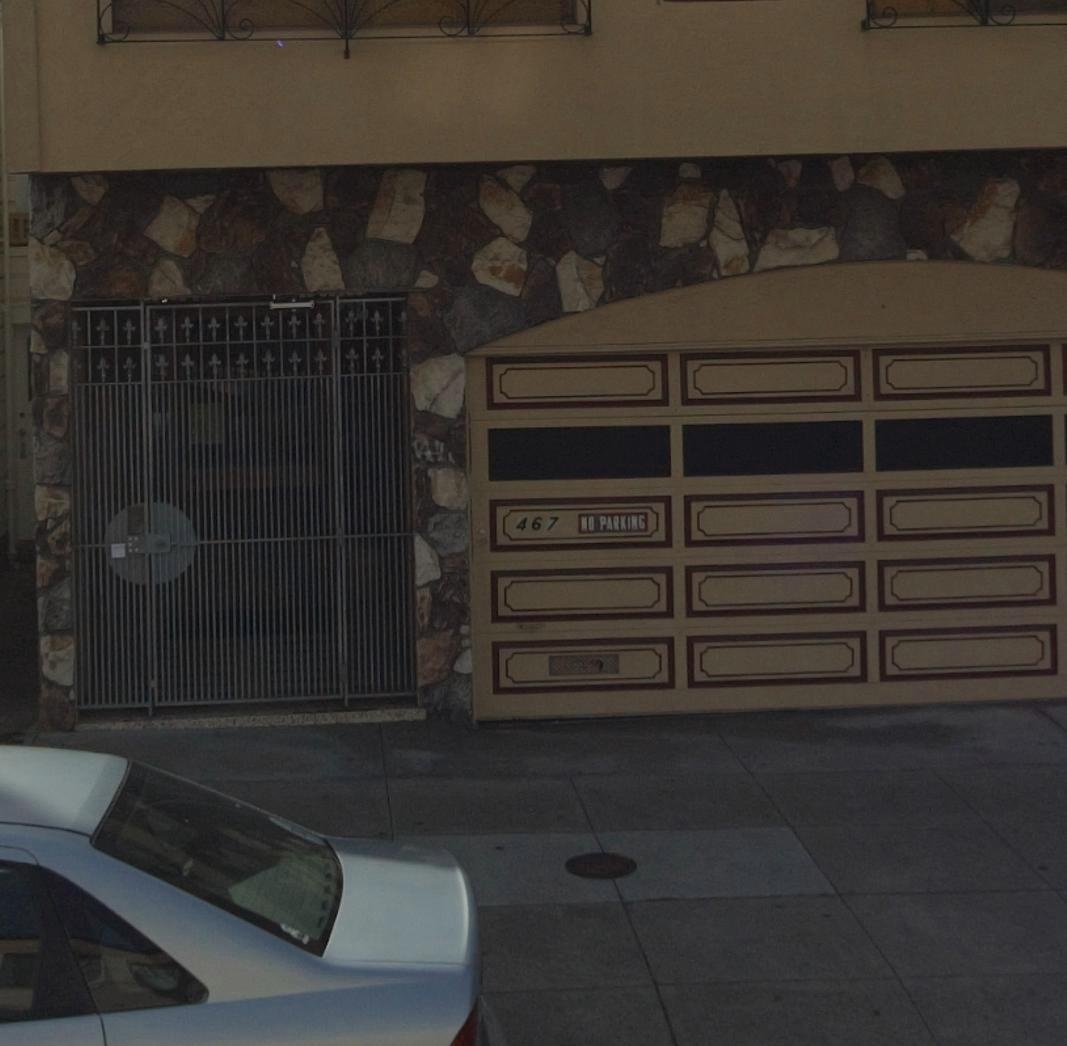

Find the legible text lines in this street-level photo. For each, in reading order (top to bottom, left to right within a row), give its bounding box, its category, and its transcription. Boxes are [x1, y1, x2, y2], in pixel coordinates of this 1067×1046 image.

[514, 515, 561, 532] StreetNumber: 467
[580, 514, 647, 532] None: NO PARKING